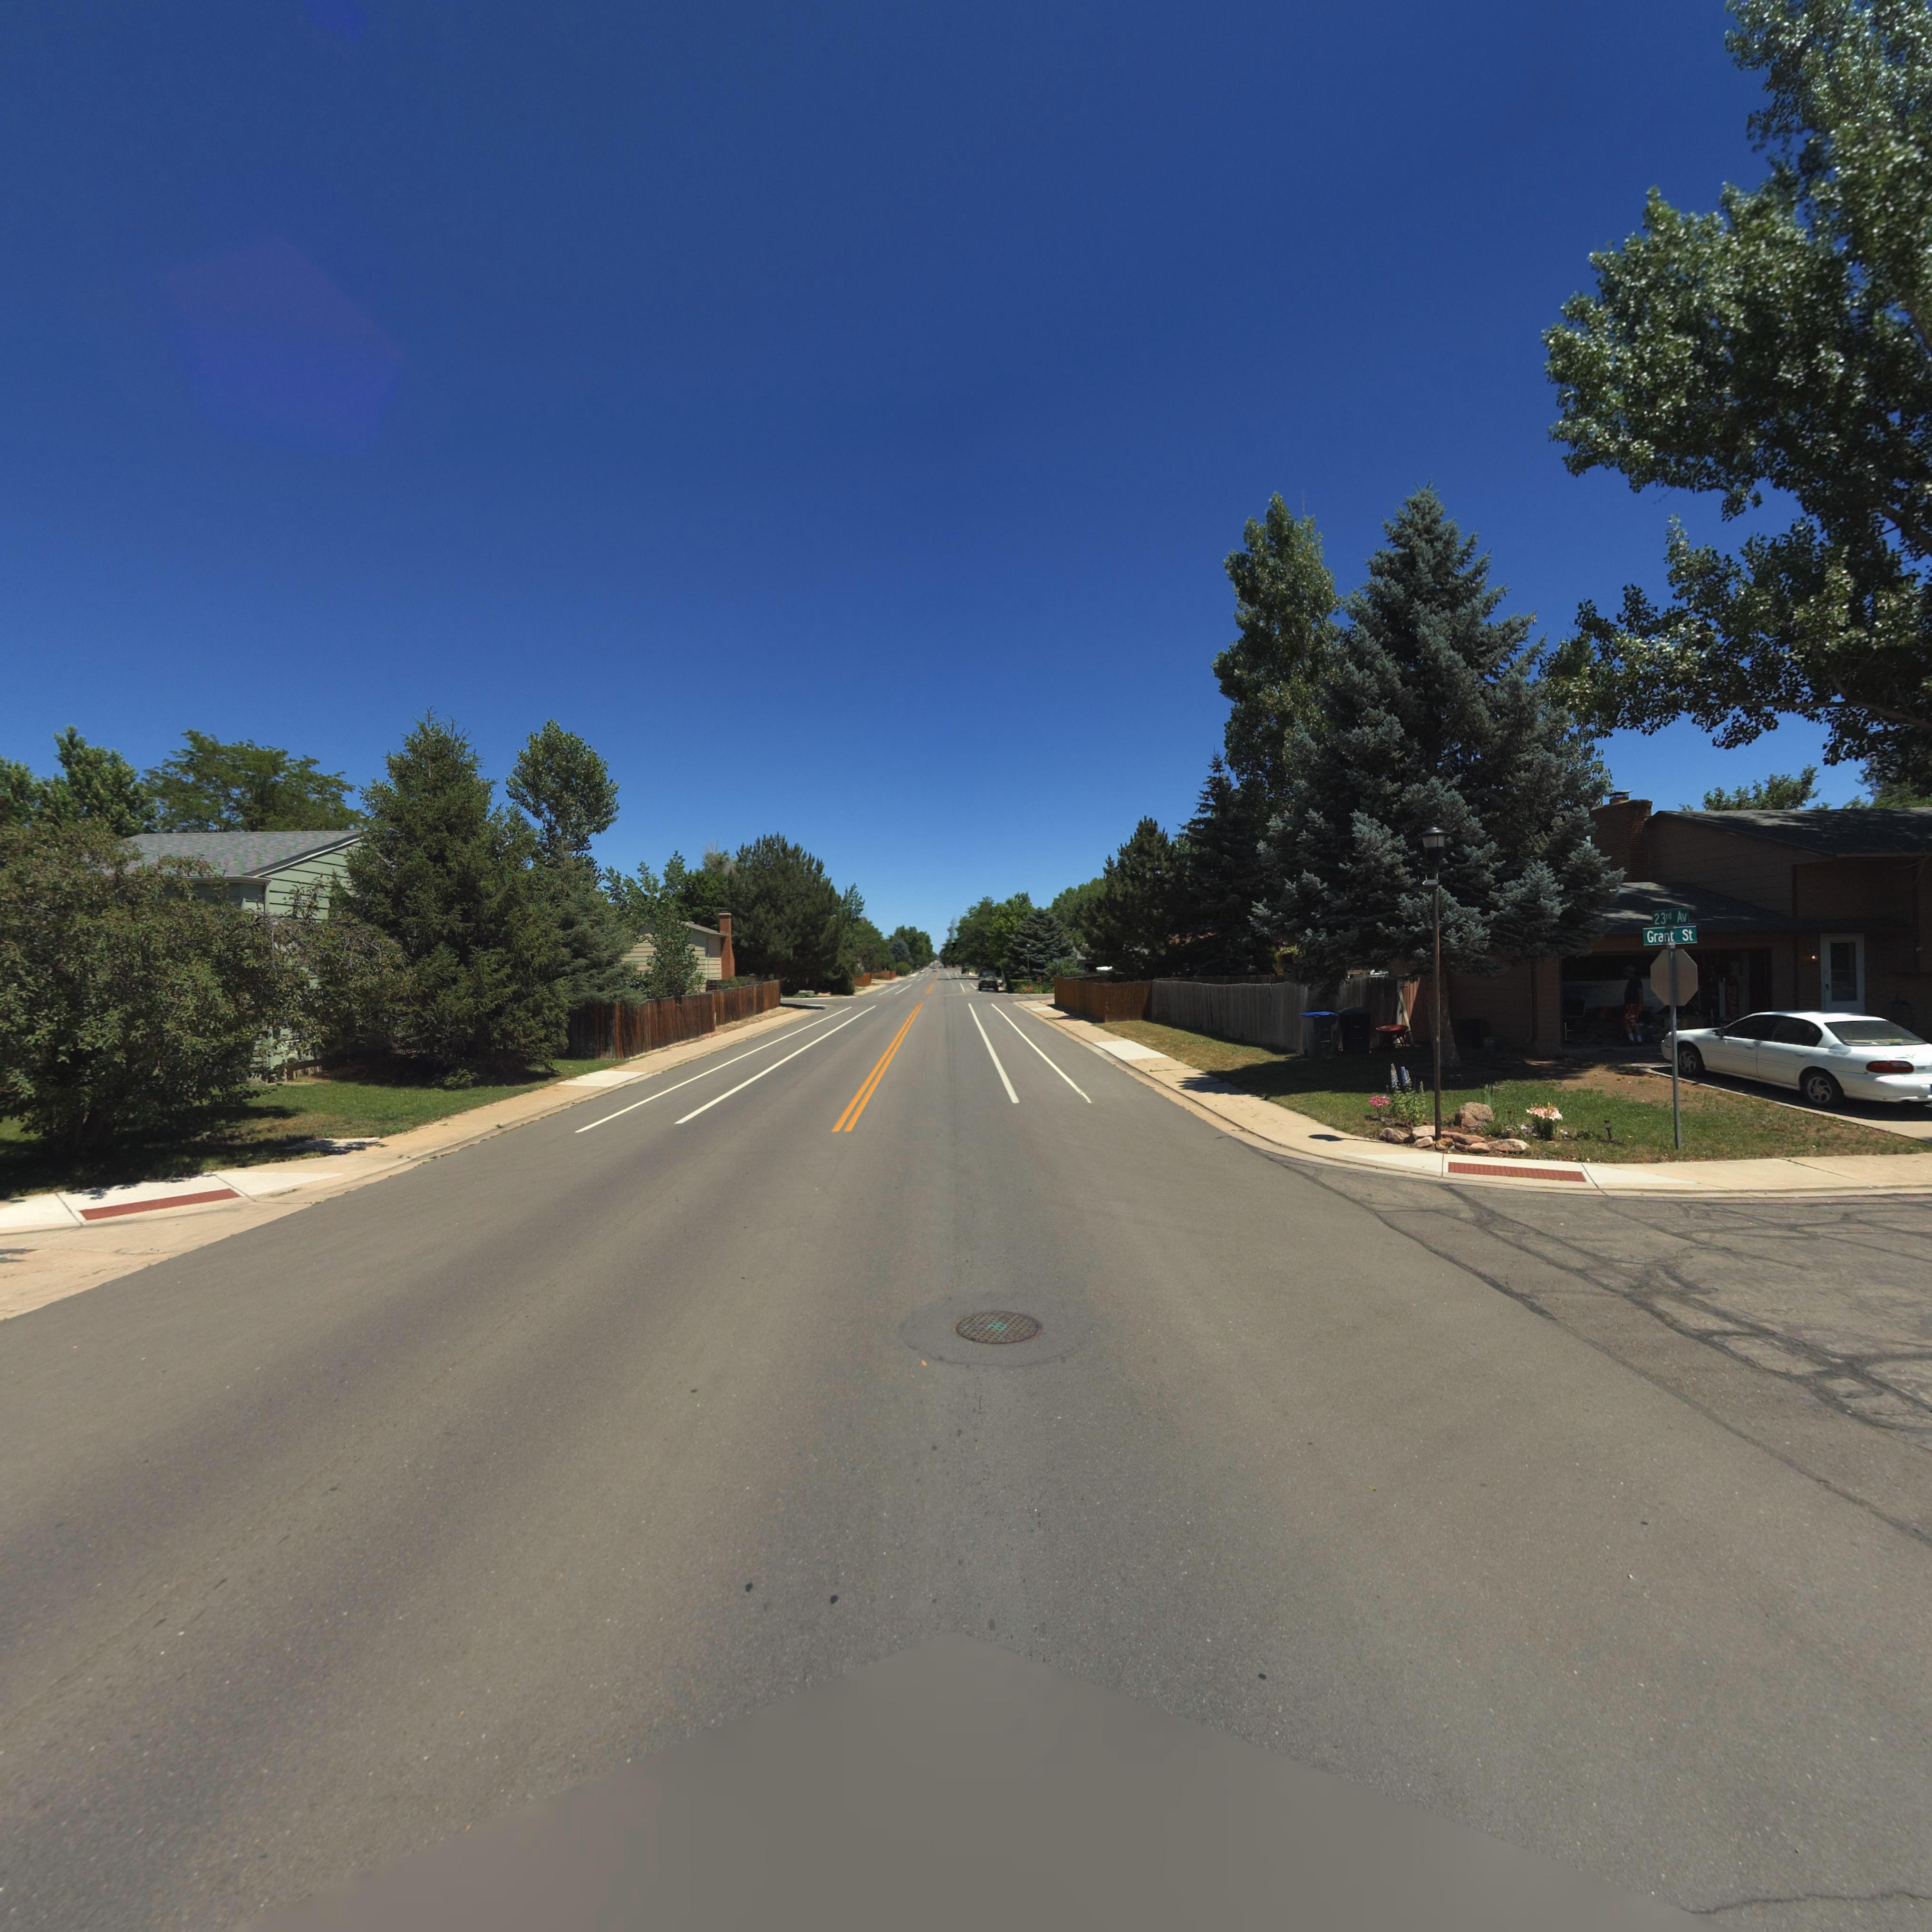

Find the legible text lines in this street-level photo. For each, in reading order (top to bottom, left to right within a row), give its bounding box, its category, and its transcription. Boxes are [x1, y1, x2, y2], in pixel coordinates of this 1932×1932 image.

[1653, 910, 1687, 925] StreetName: 23rd Av
[1647, 928, 1693, 943] StreetName: Grant St